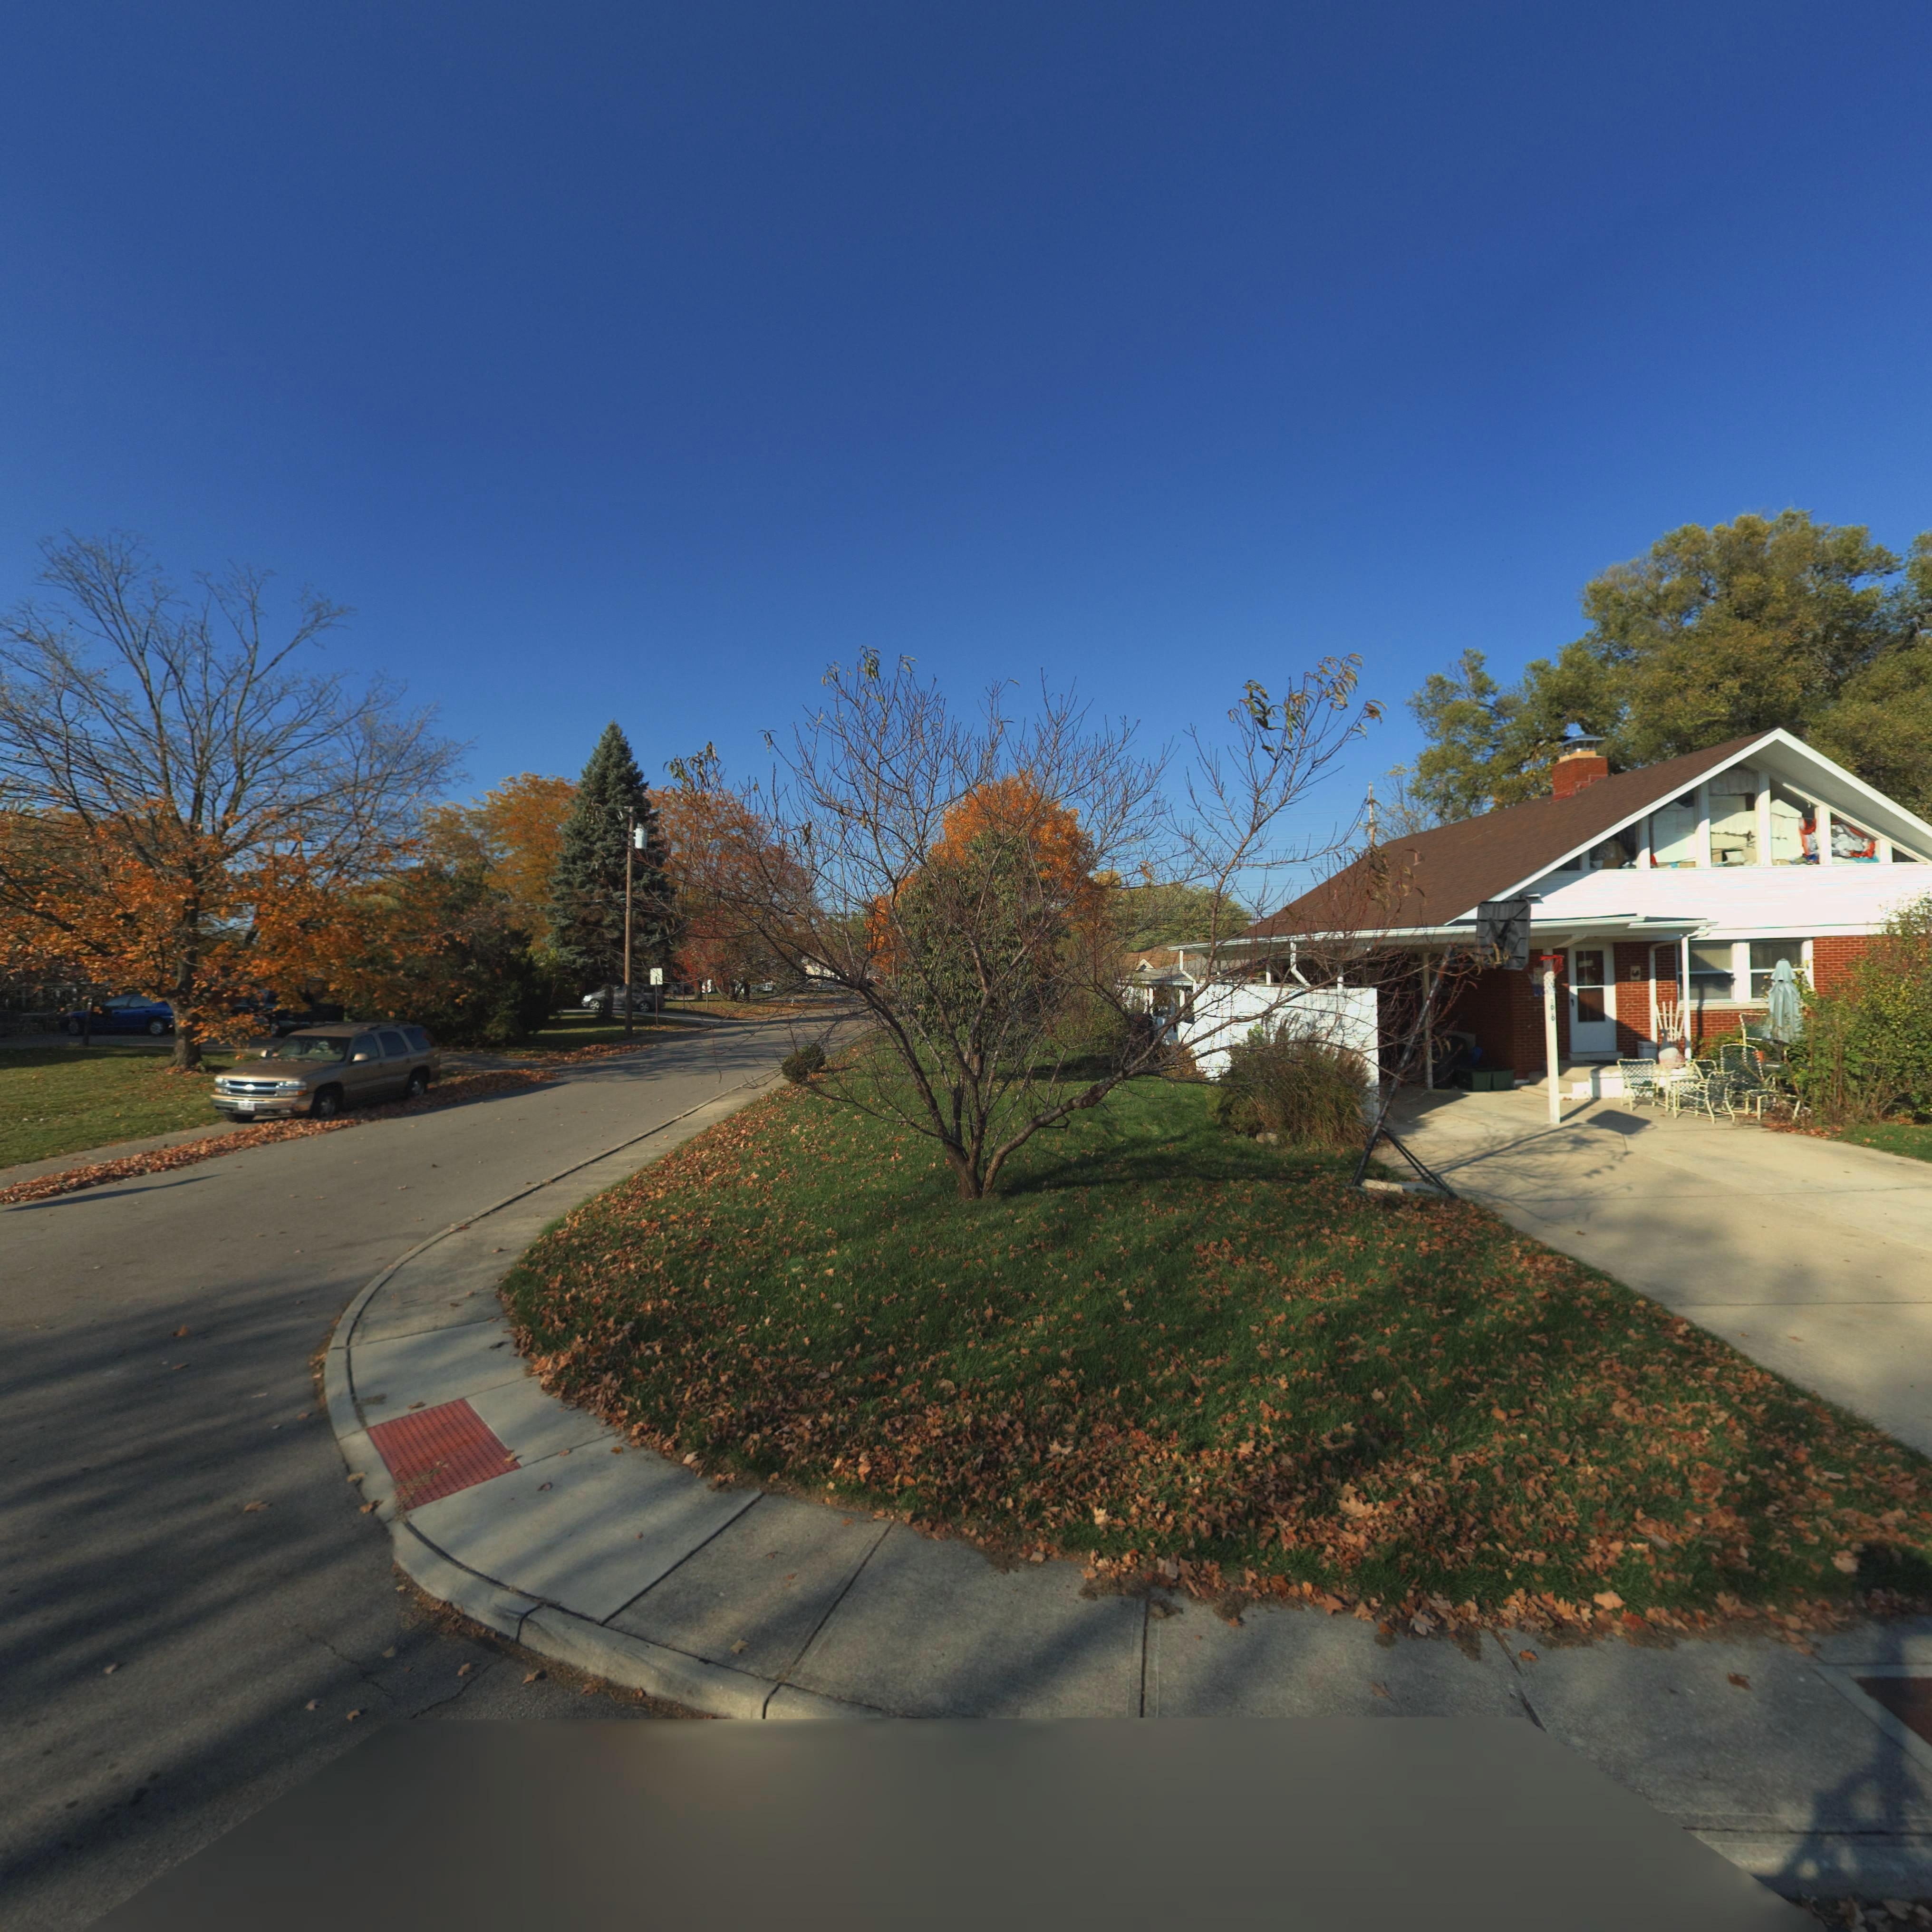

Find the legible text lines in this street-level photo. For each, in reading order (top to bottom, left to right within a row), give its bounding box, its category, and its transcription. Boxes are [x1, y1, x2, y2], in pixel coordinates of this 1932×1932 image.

[1549, 998, 1556, 1023] StreetNumber: *0*0